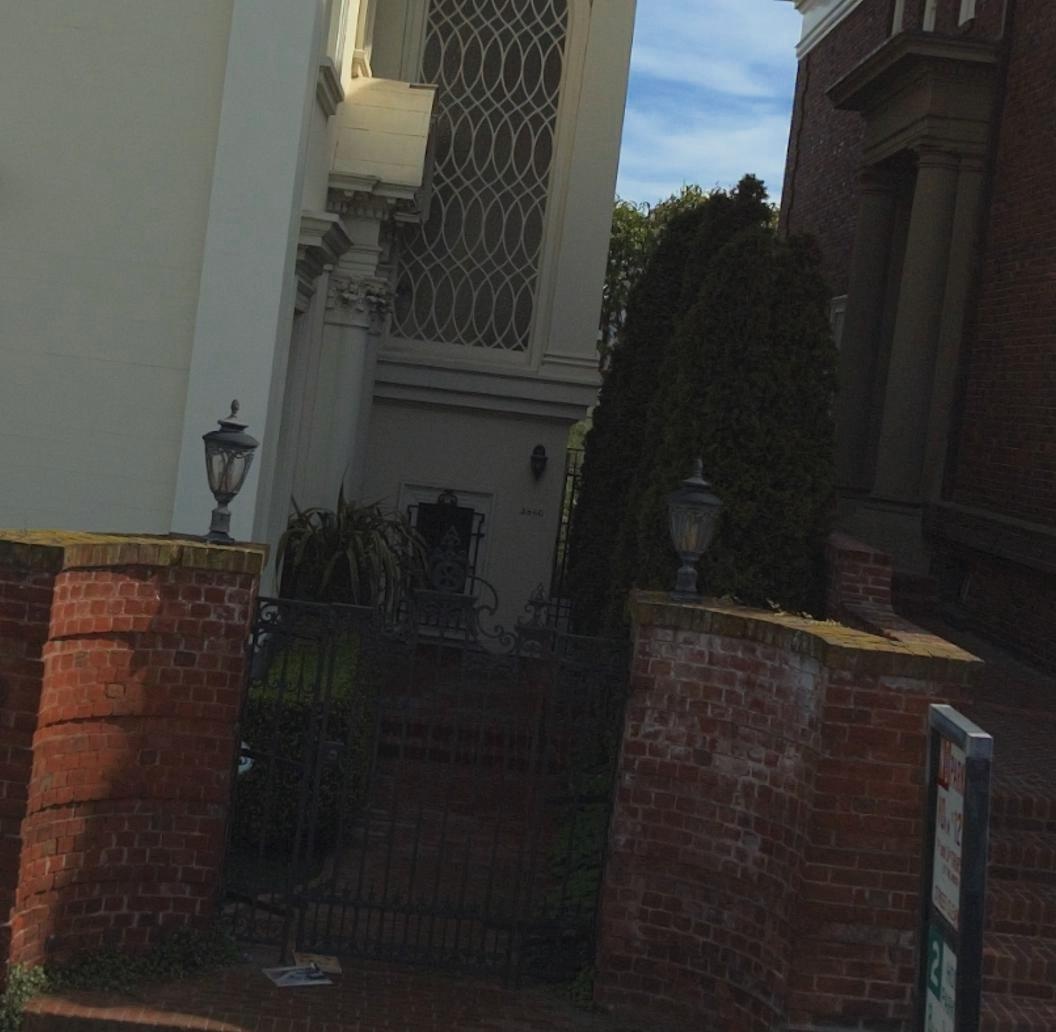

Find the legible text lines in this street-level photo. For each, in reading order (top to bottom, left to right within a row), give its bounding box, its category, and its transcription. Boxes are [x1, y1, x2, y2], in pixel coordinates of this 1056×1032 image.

[516, 504, 546, 520] StreetNumber: 2660
[953, 808, 964, 850] None: 2
[927, 937, 943, 991] None: 2